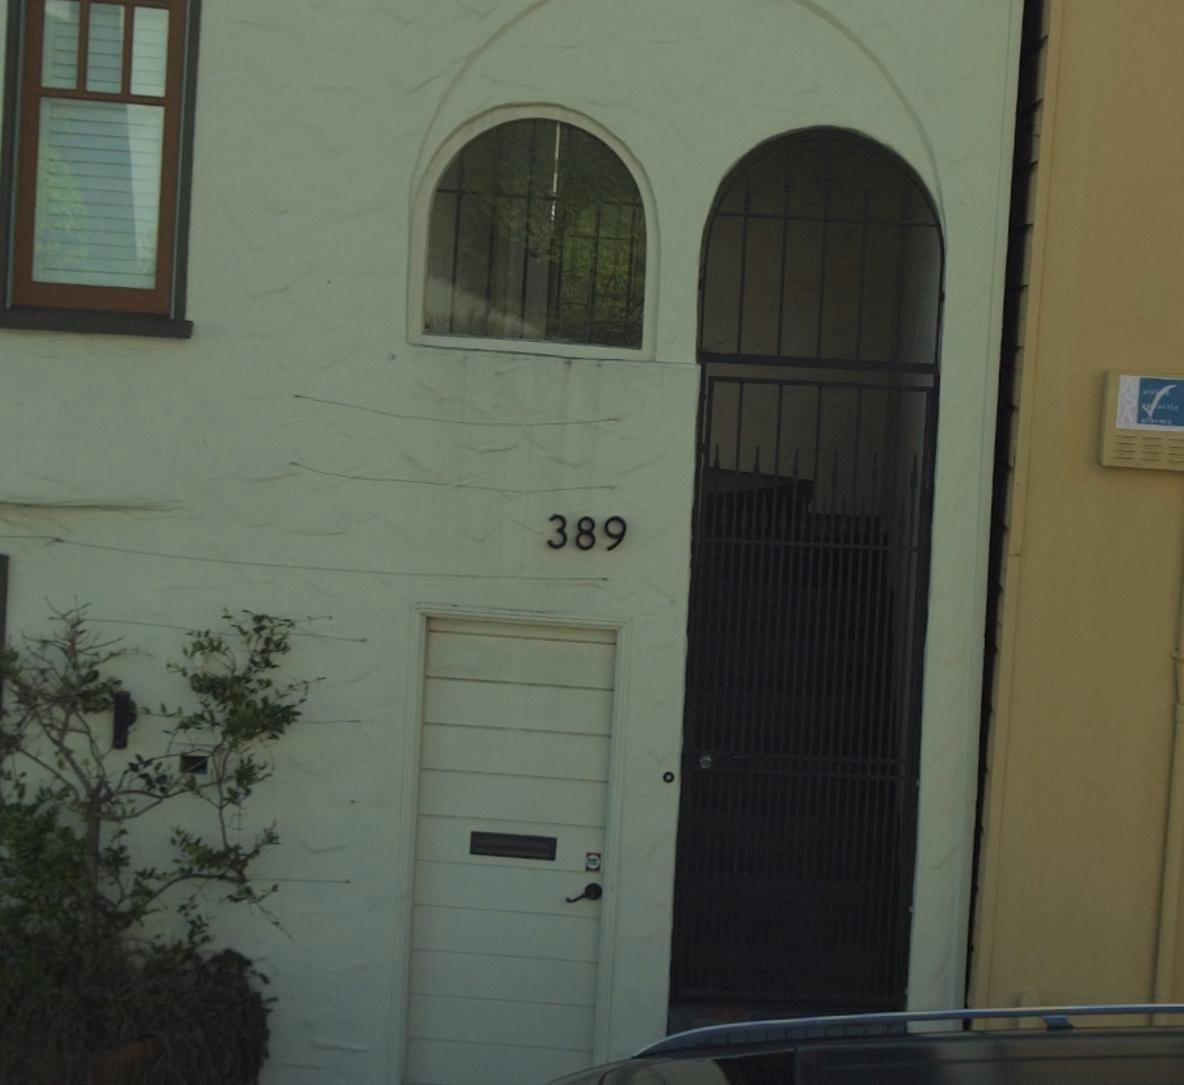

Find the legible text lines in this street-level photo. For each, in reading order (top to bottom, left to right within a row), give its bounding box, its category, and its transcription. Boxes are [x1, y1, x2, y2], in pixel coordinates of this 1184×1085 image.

[1118, 376, 1137, 426] None: ASA
[545, 510, 629, 553] StreetNumber: 389